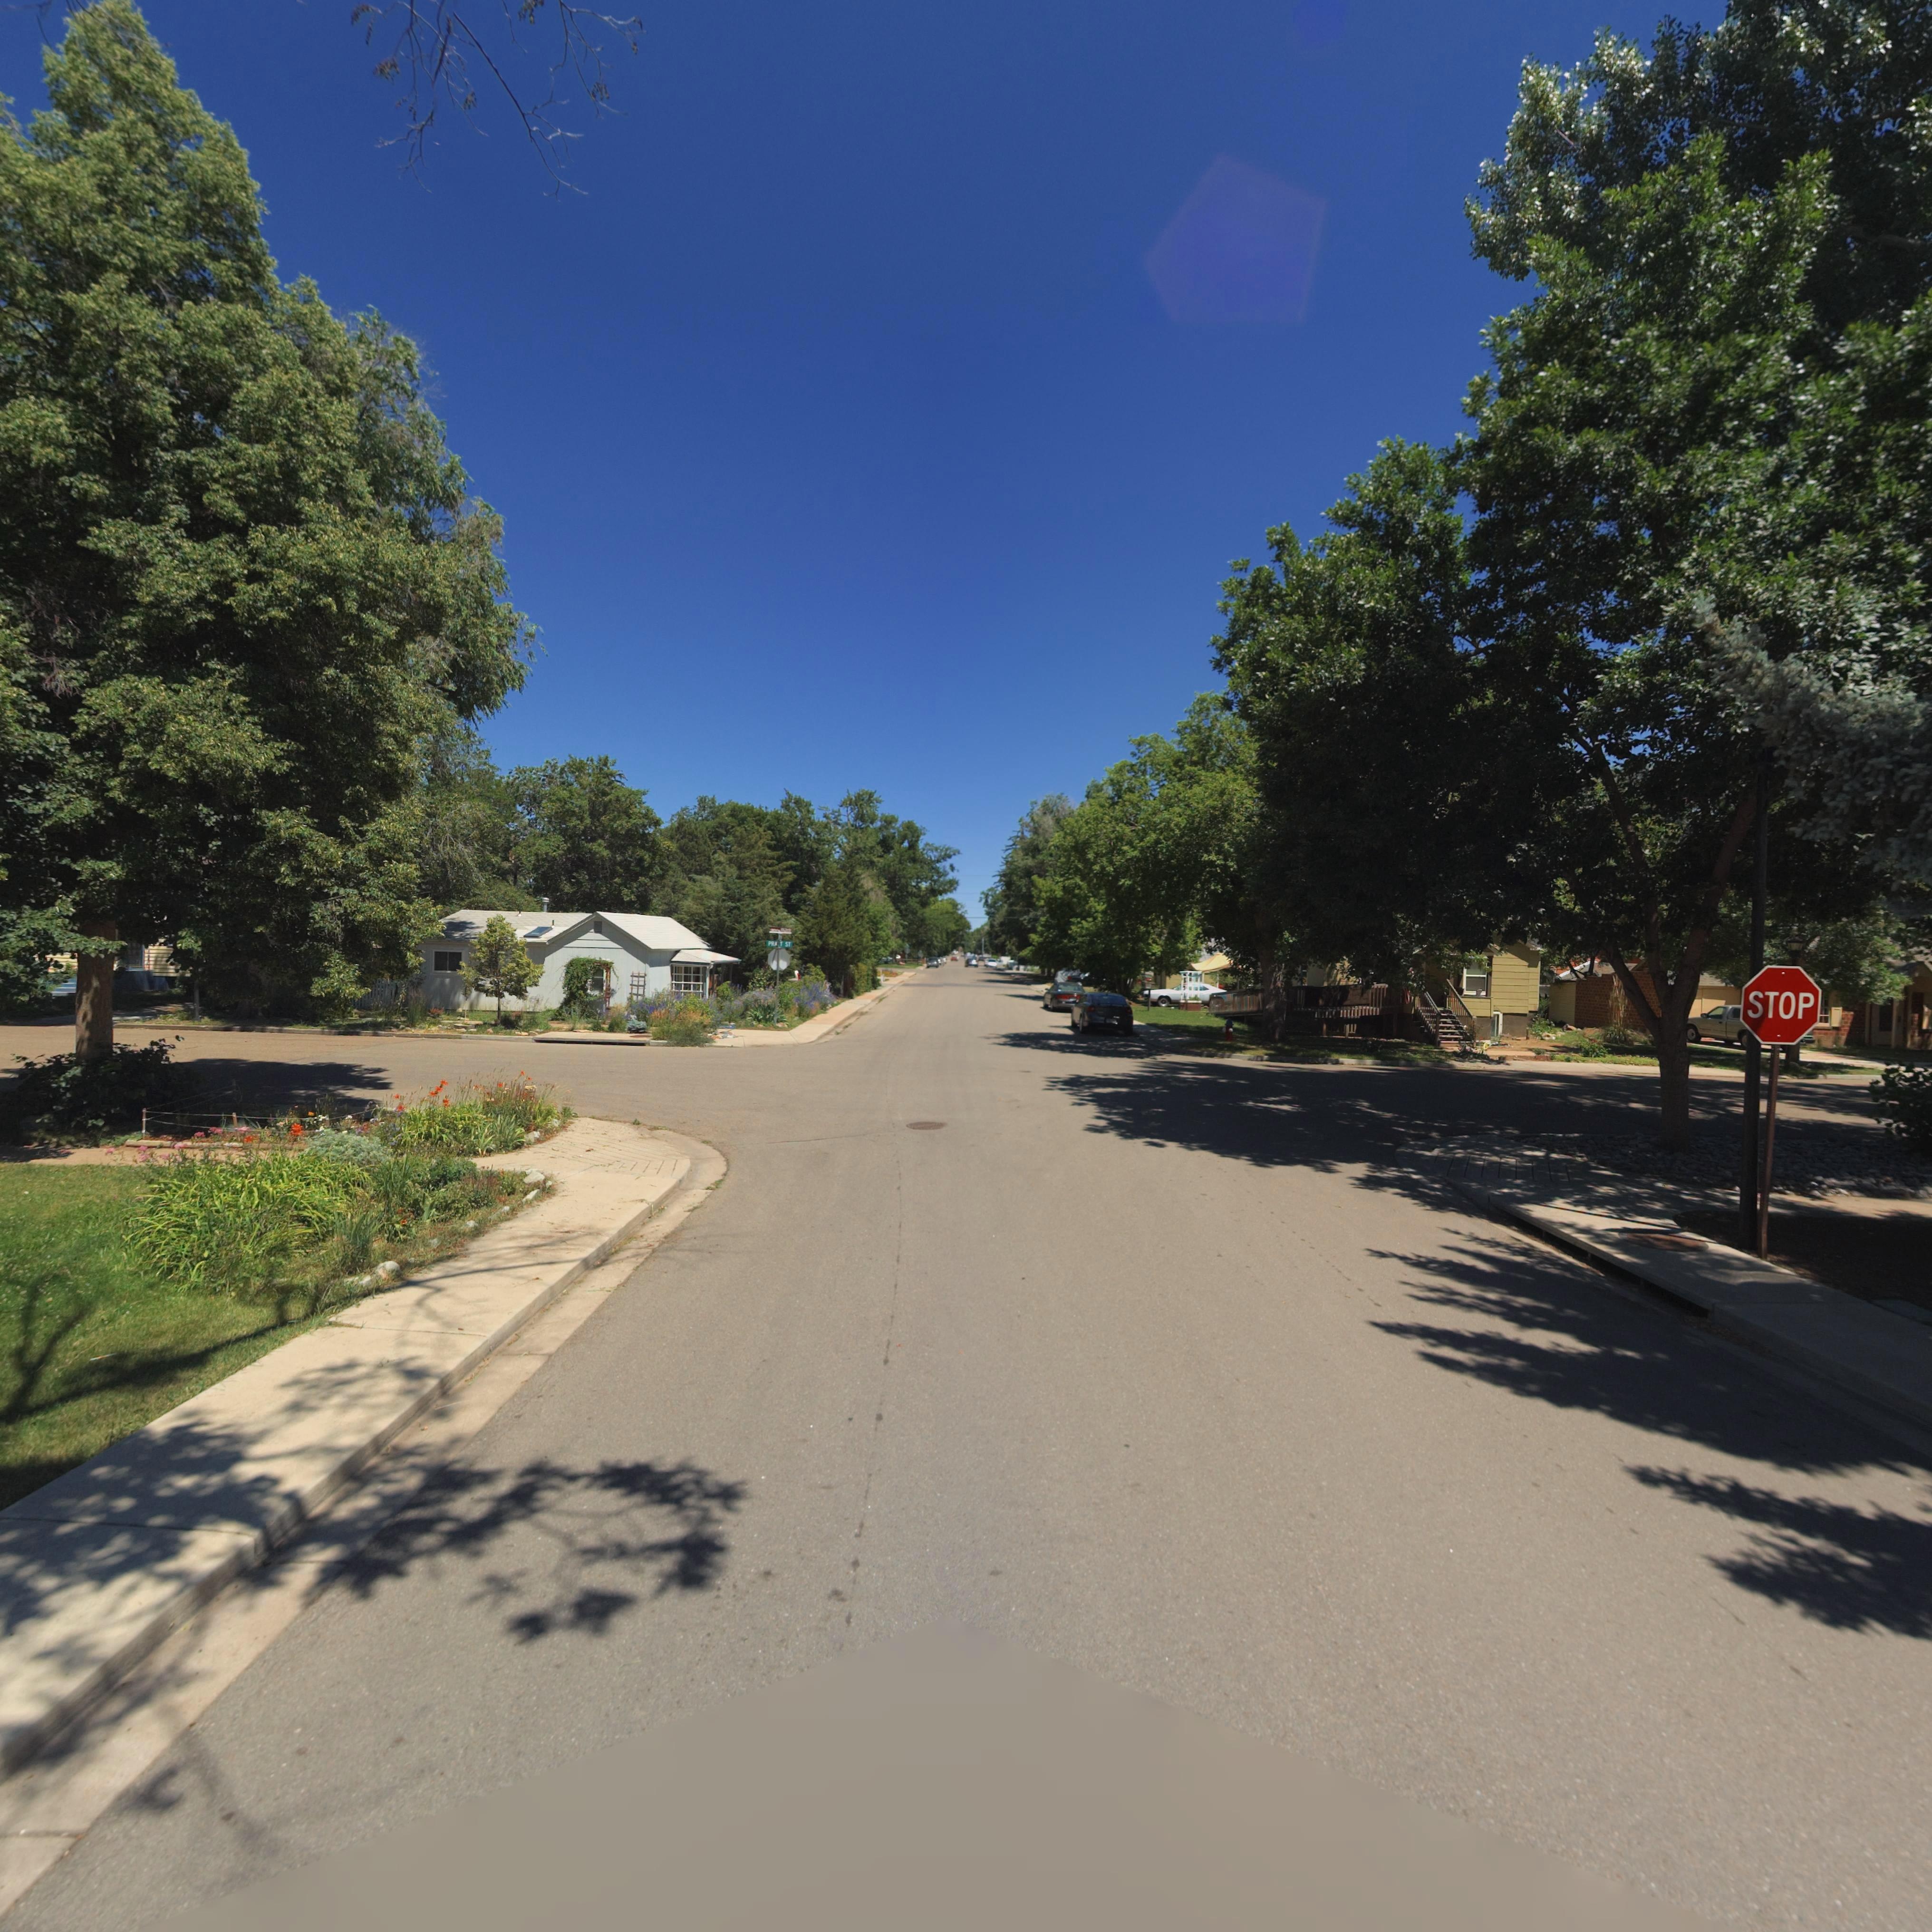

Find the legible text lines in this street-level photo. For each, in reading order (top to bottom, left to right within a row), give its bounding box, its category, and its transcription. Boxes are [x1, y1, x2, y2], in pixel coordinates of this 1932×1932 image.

[768, 940, 791, 947] StreetName: PRA*T ST